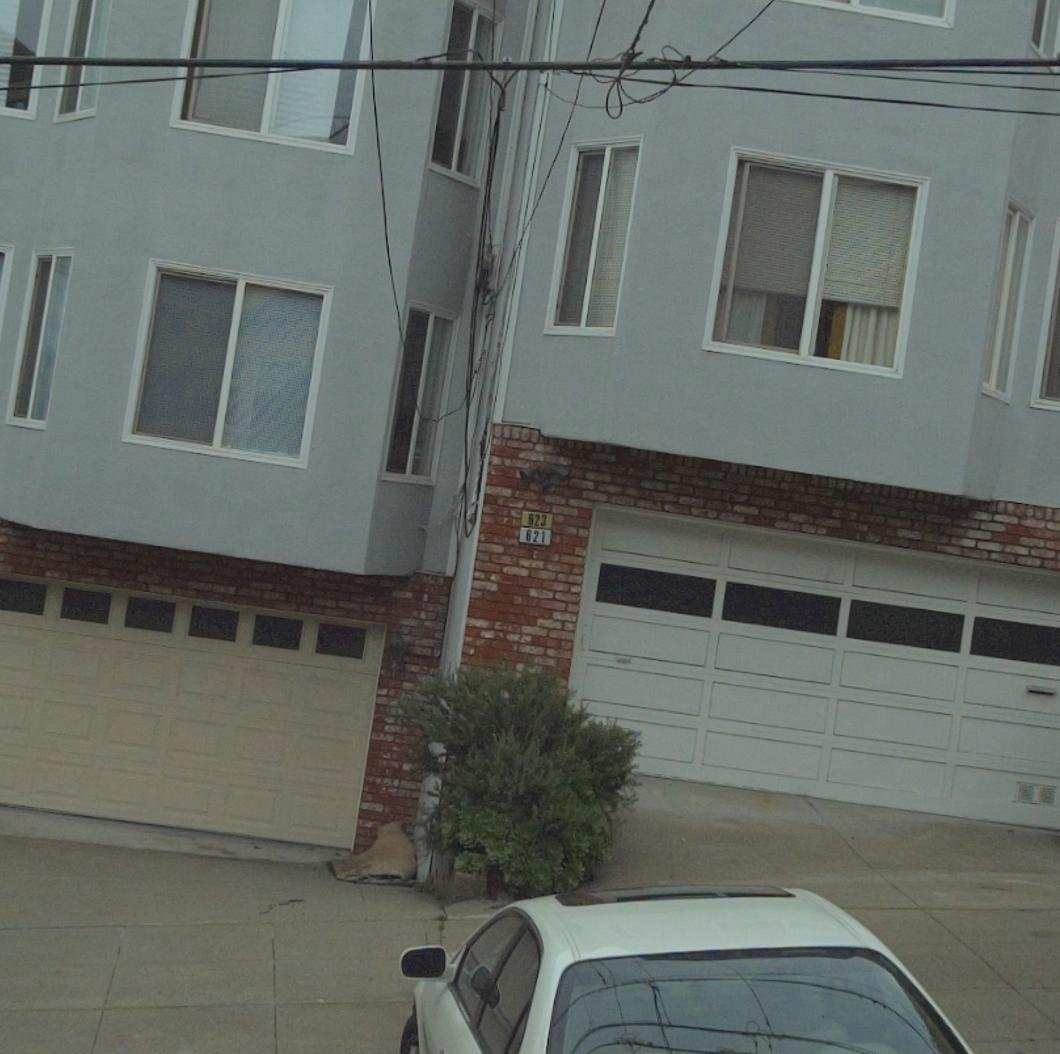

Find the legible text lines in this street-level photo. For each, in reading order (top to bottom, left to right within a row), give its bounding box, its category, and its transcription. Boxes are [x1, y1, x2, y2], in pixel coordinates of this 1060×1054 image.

[526, 512, 548, 528] StreetNumber: 623
[525, 528, 547, 545] StreetNumber: 621